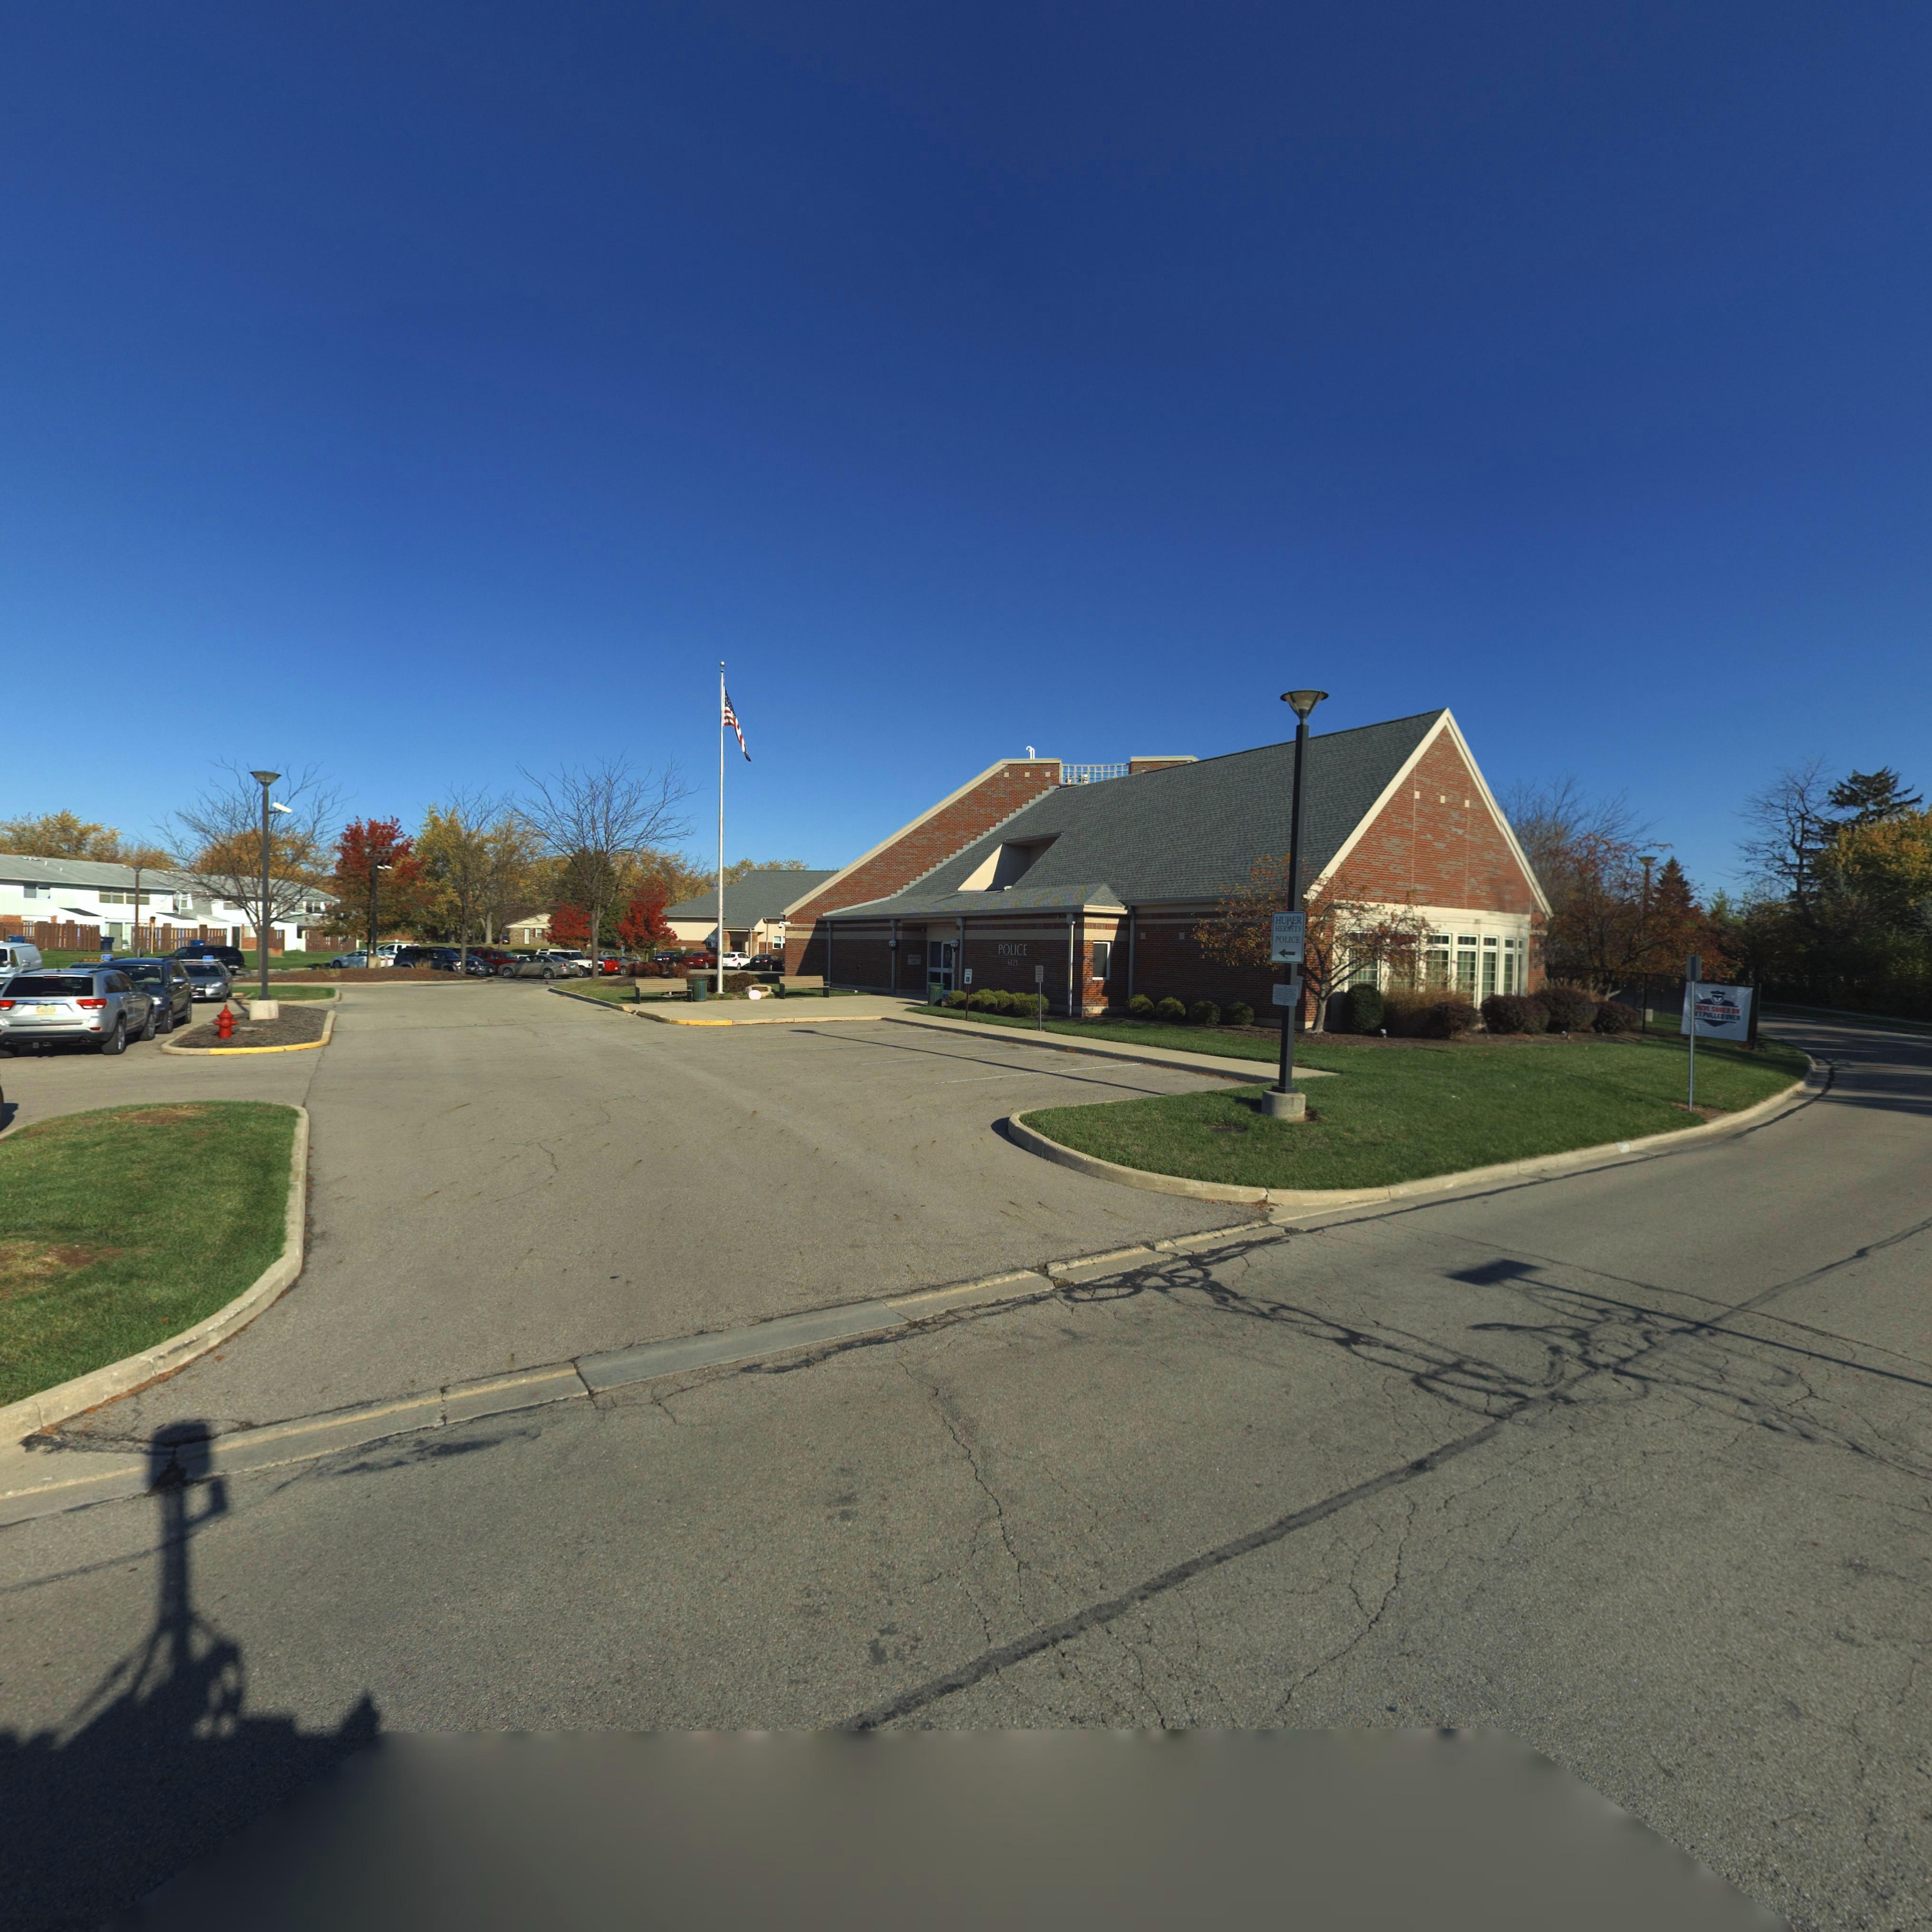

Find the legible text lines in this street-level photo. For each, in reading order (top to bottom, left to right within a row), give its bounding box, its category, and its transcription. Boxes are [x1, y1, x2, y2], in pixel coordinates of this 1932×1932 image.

[1007, 958, 1018, 966] StreetNumber: 6121